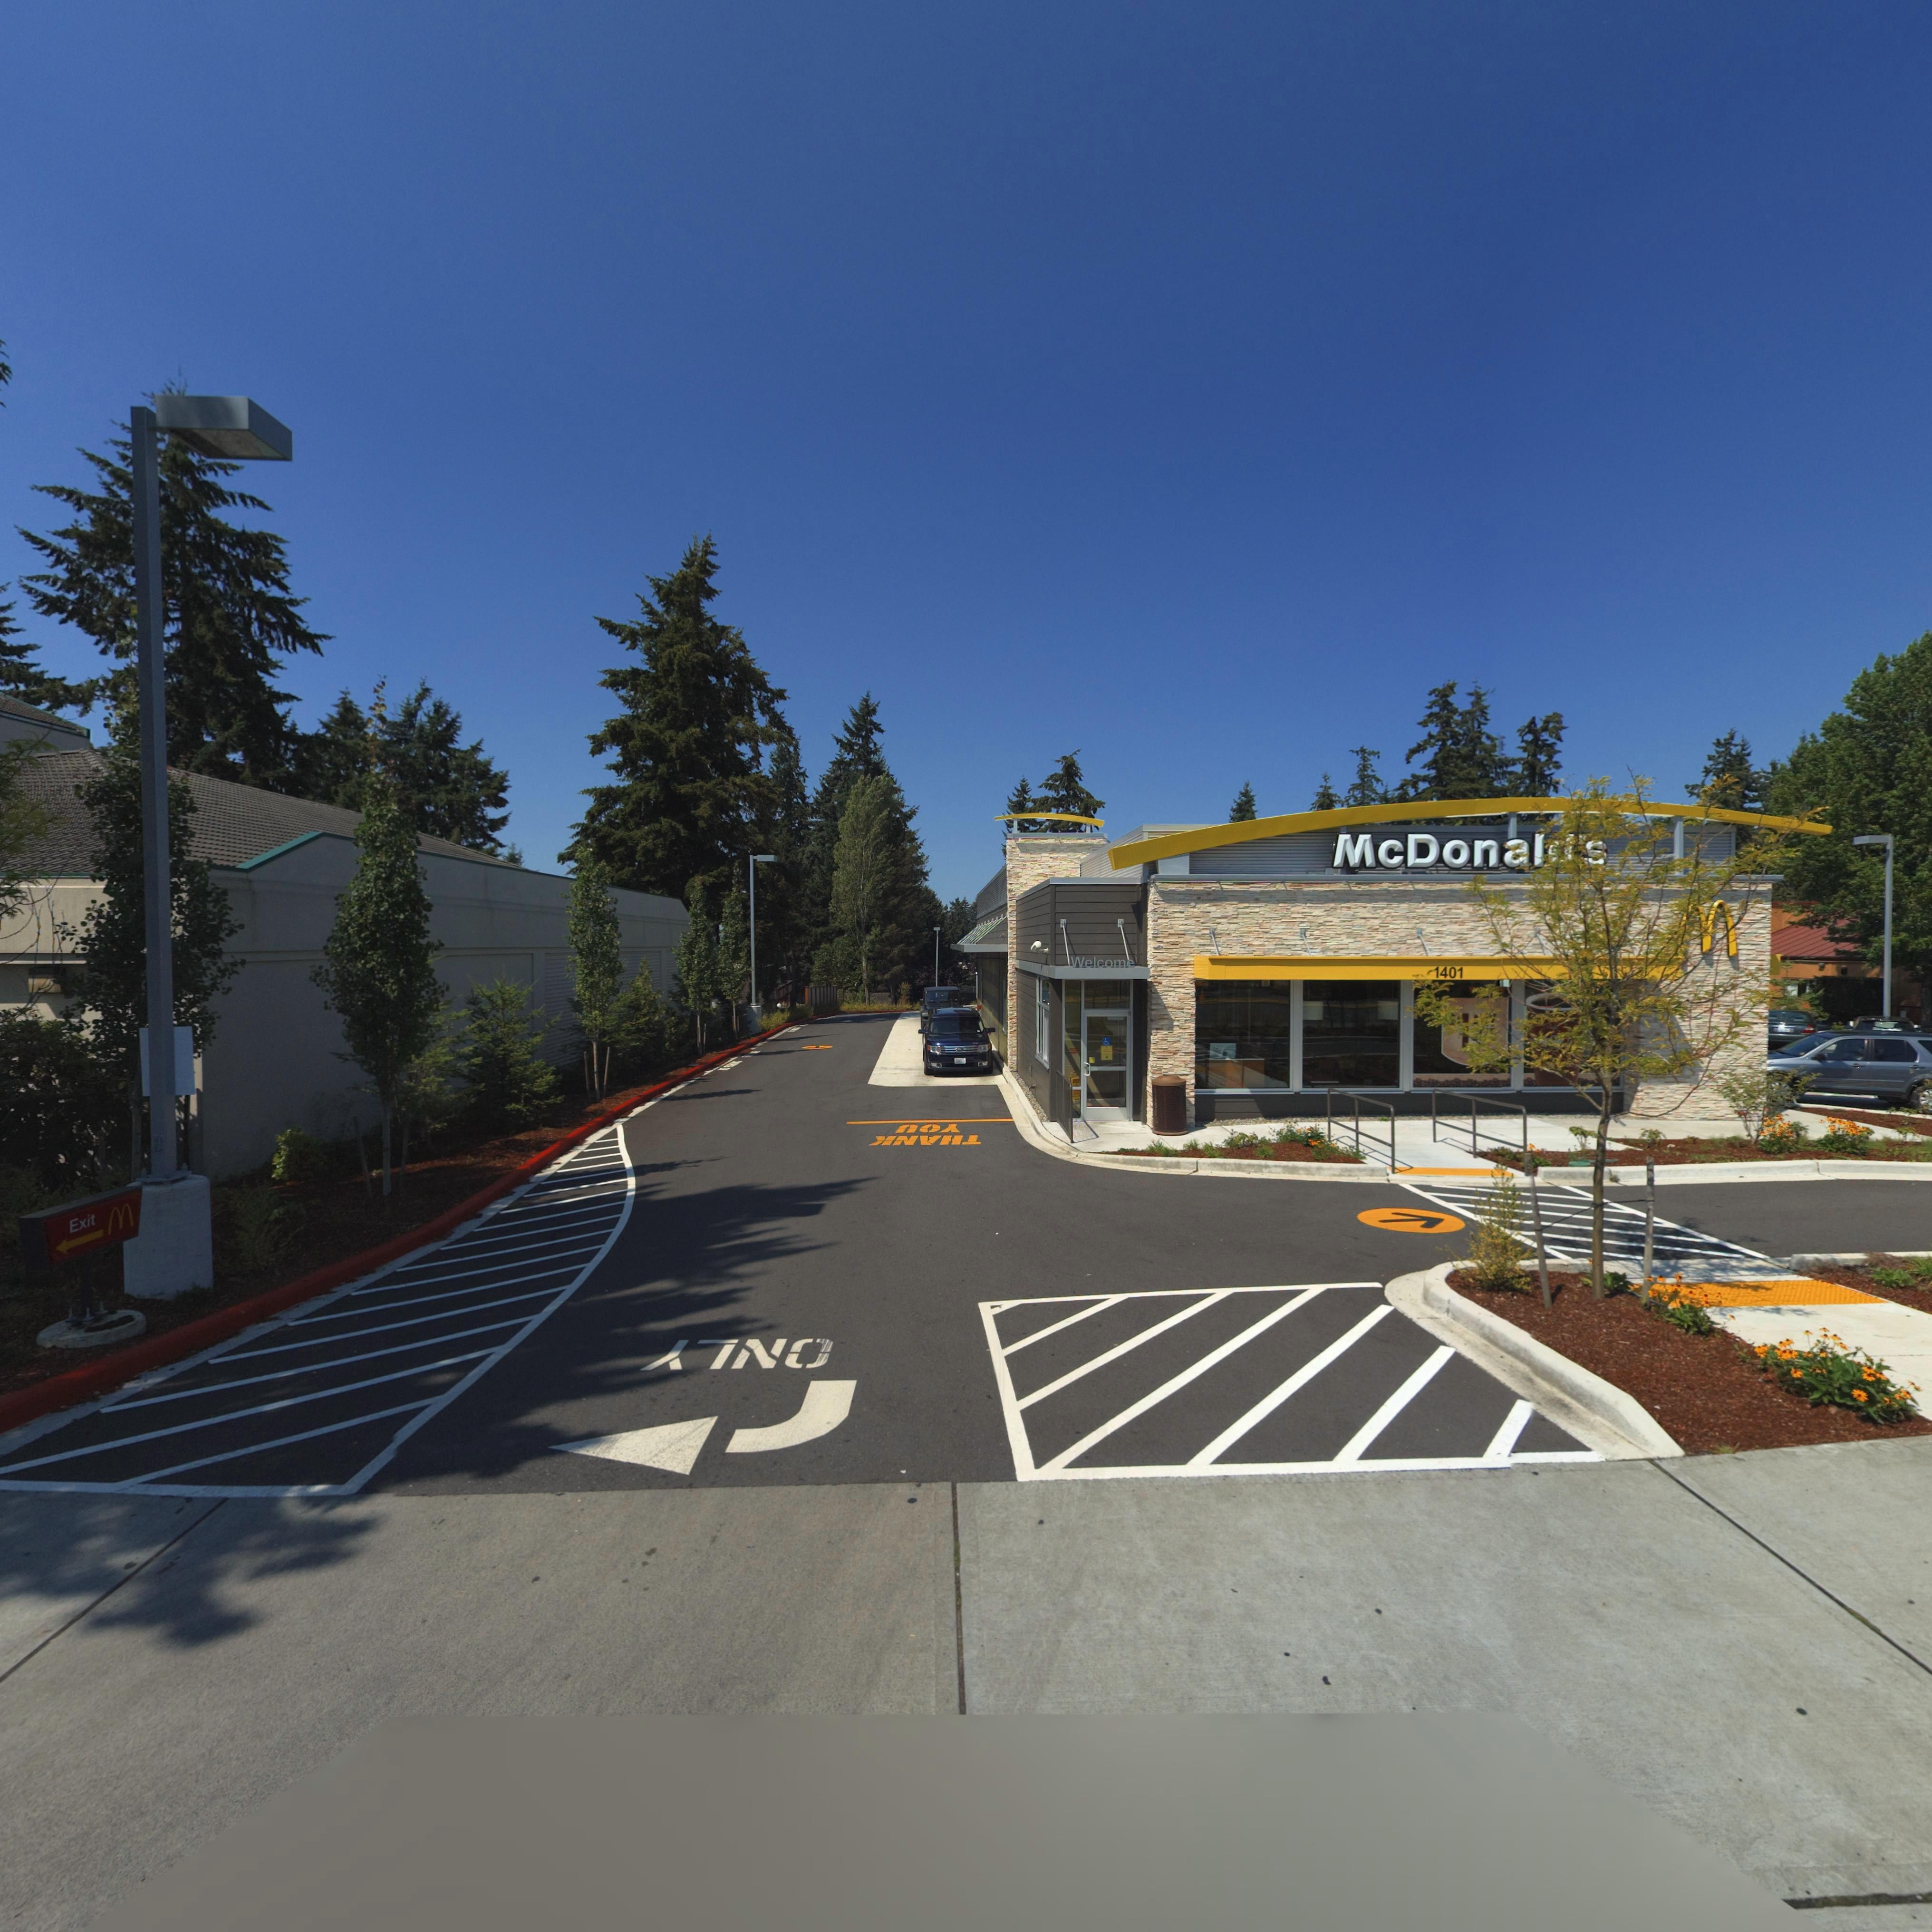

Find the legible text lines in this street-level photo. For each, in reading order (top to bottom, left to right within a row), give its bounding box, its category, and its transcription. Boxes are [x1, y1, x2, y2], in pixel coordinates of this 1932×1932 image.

[1333, 834, 1544, 867] BusinessName: McDonal*
[1431, 965, 1464, 982] StreetNumber: 1401